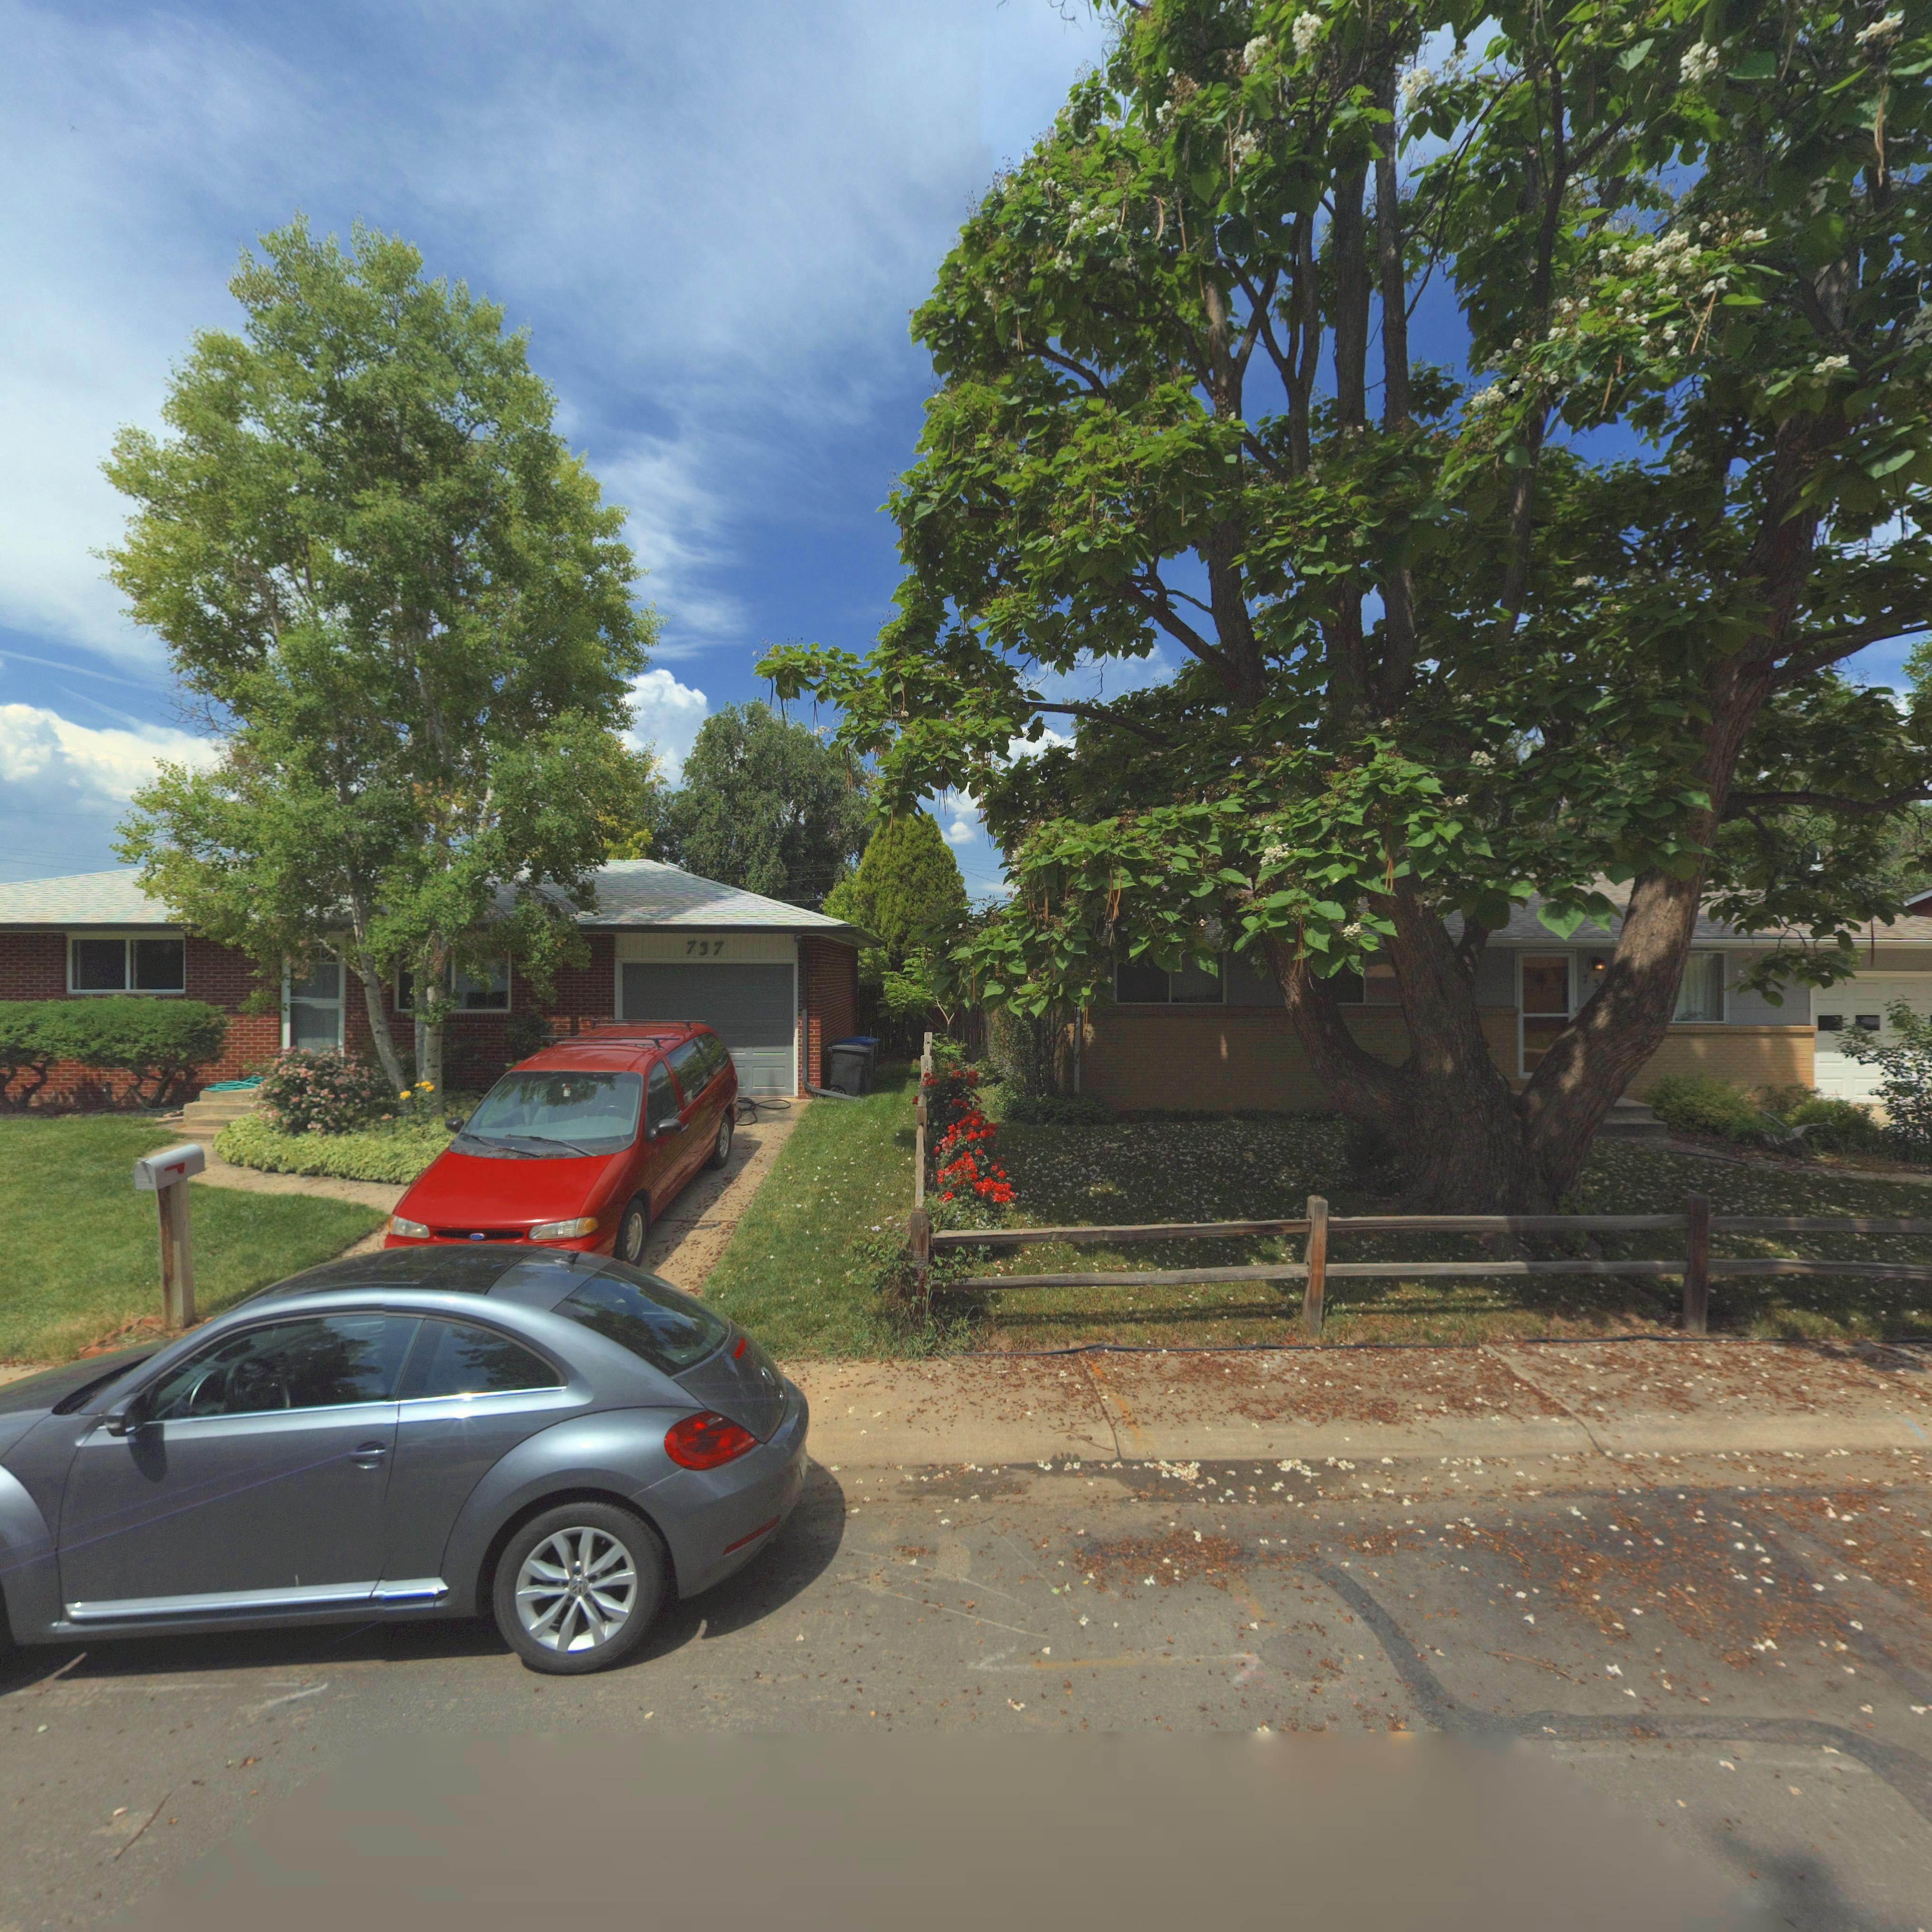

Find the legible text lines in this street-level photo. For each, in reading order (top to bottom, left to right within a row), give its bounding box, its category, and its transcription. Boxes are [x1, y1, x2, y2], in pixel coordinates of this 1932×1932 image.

[686, 940, 724, 956] StreetNumber: 737
[1582, 975, 1608, 991] StreetNumber: 73*